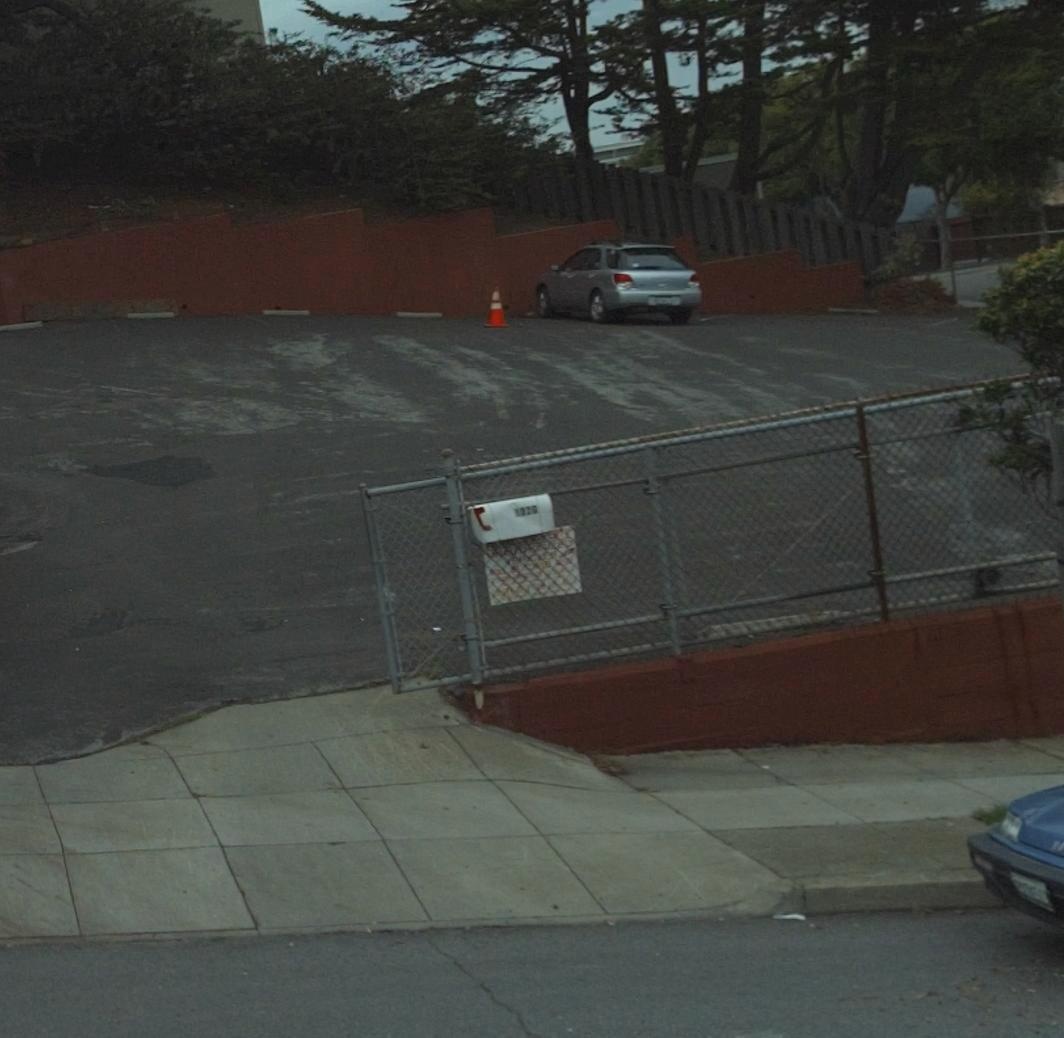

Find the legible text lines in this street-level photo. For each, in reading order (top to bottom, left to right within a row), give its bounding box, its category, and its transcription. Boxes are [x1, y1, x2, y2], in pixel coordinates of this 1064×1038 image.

[514, 504, 539, 518] StreetNumber: 1920